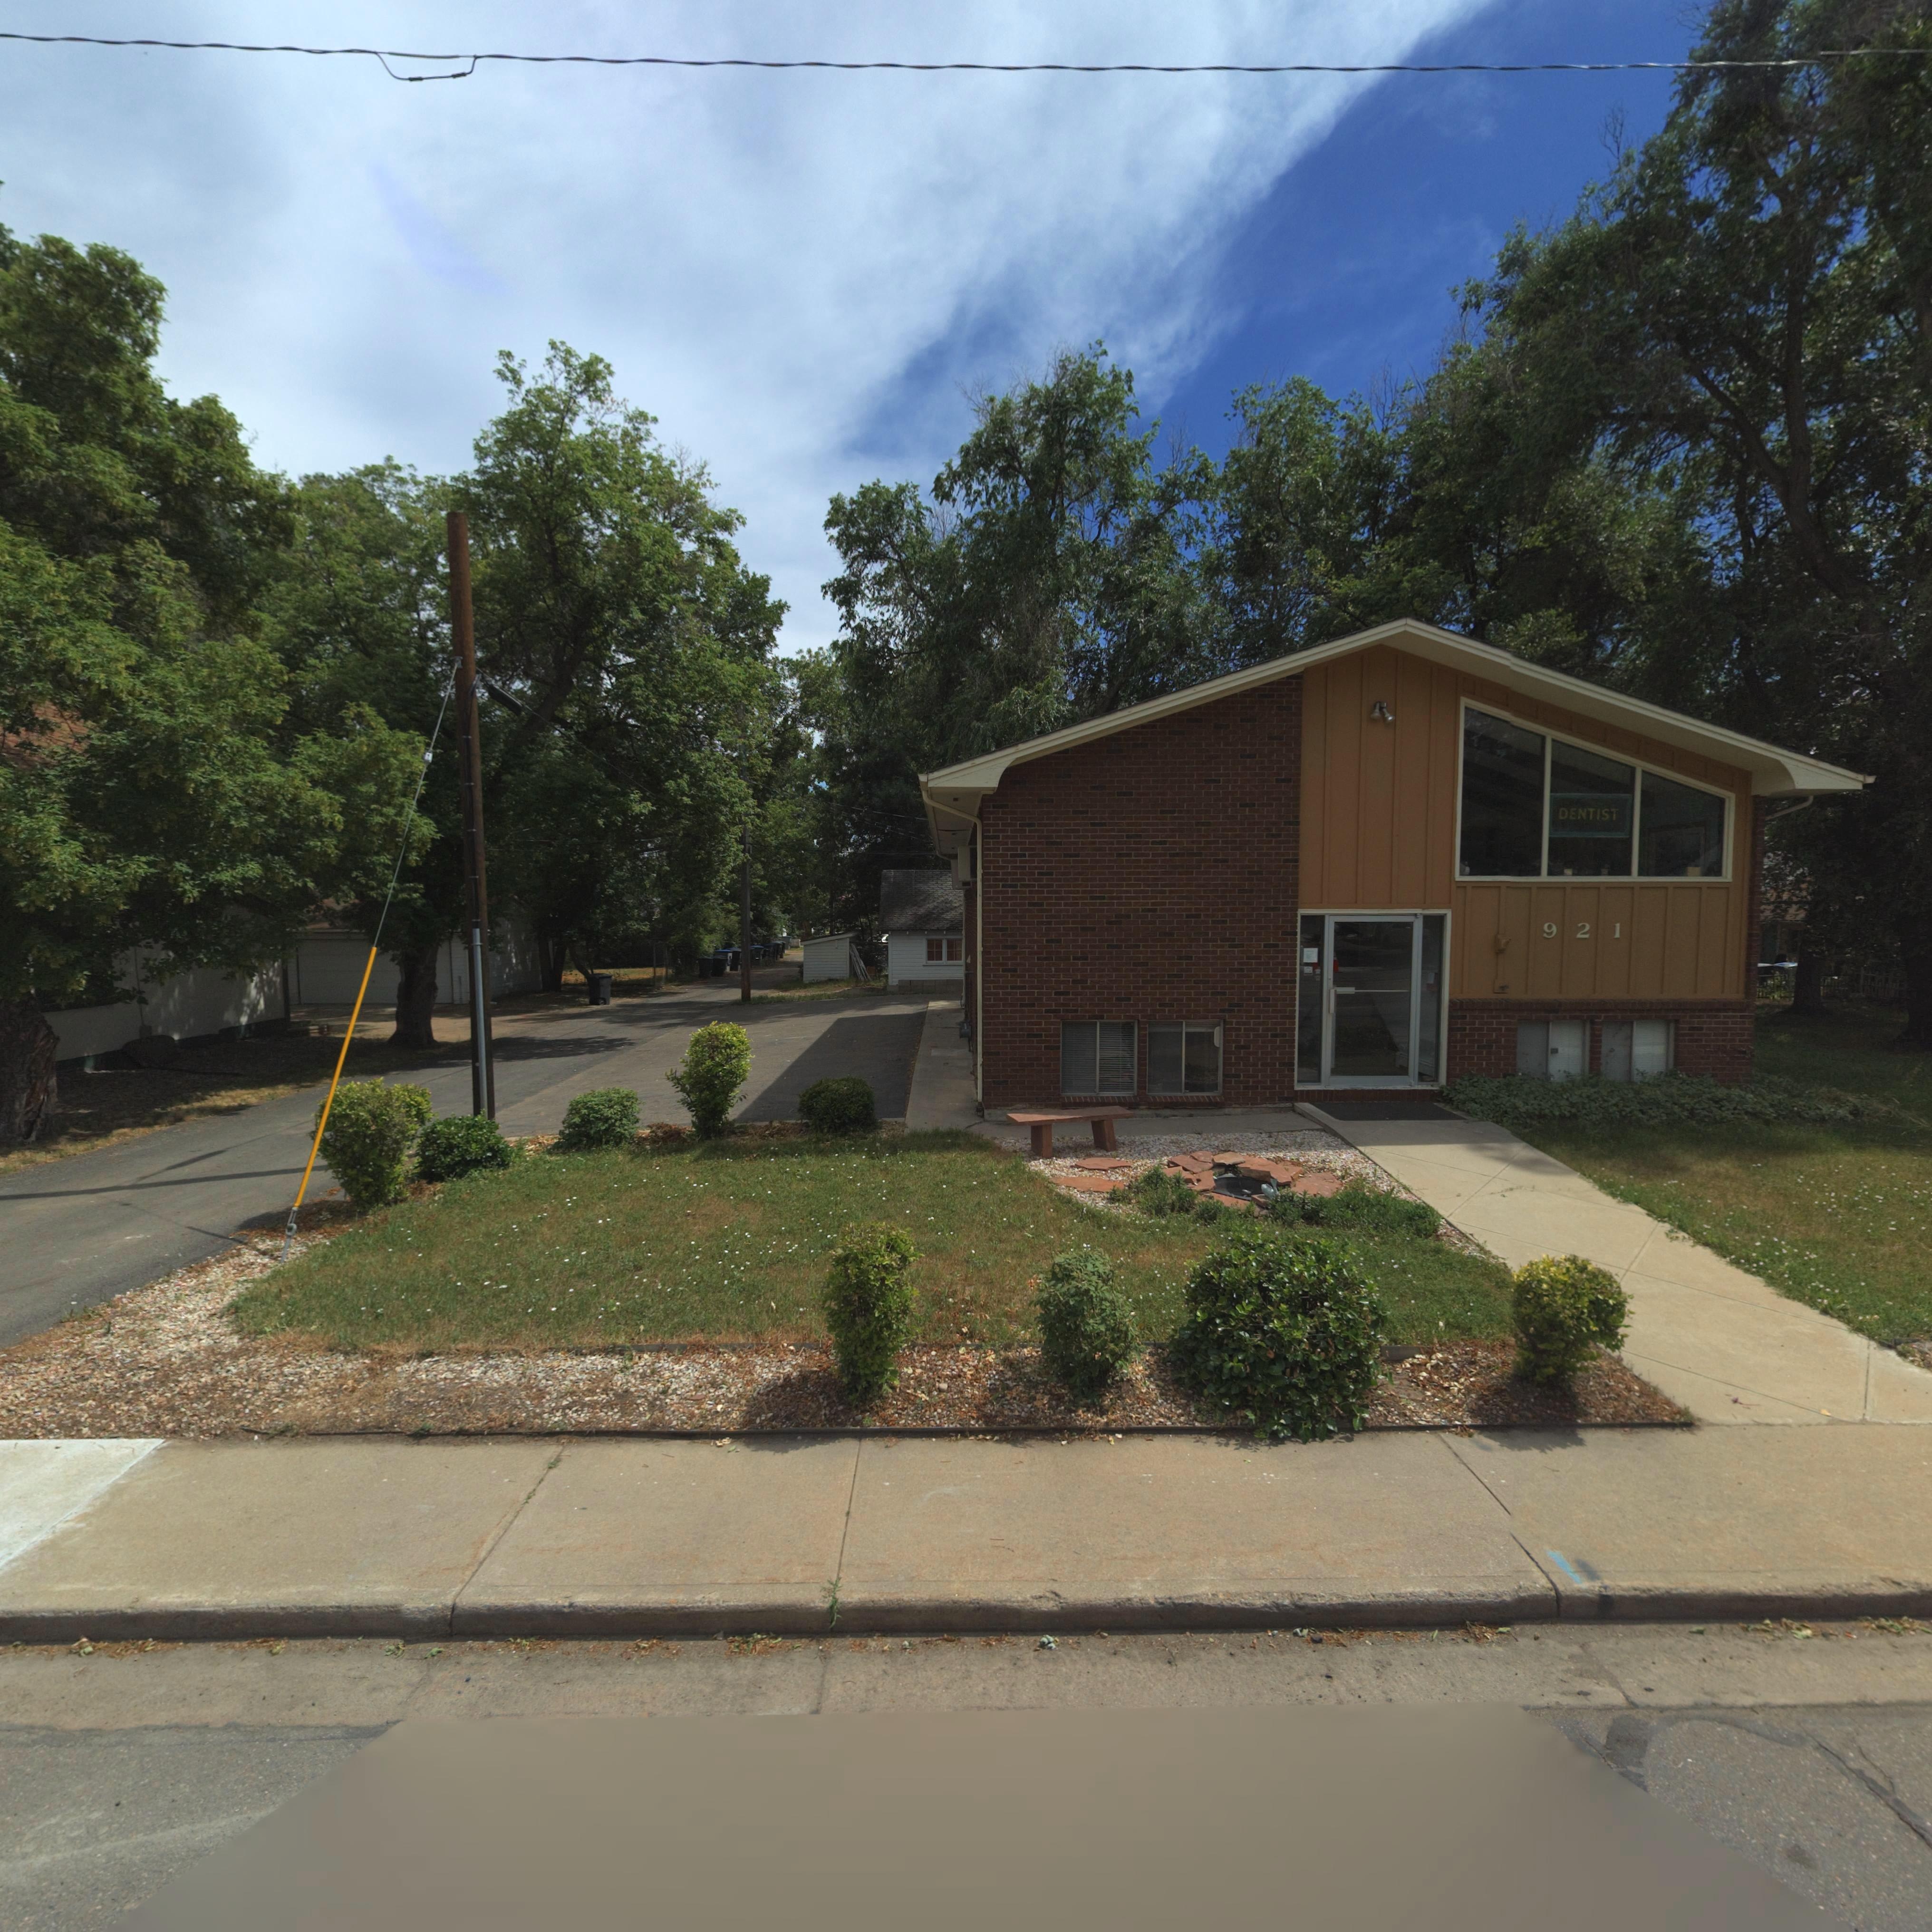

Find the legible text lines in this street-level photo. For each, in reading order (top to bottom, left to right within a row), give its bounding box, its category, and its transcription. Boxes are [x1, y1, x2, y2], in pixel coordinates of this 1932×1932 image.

[1542, 922, 1621, 939] StreetNumber: 921